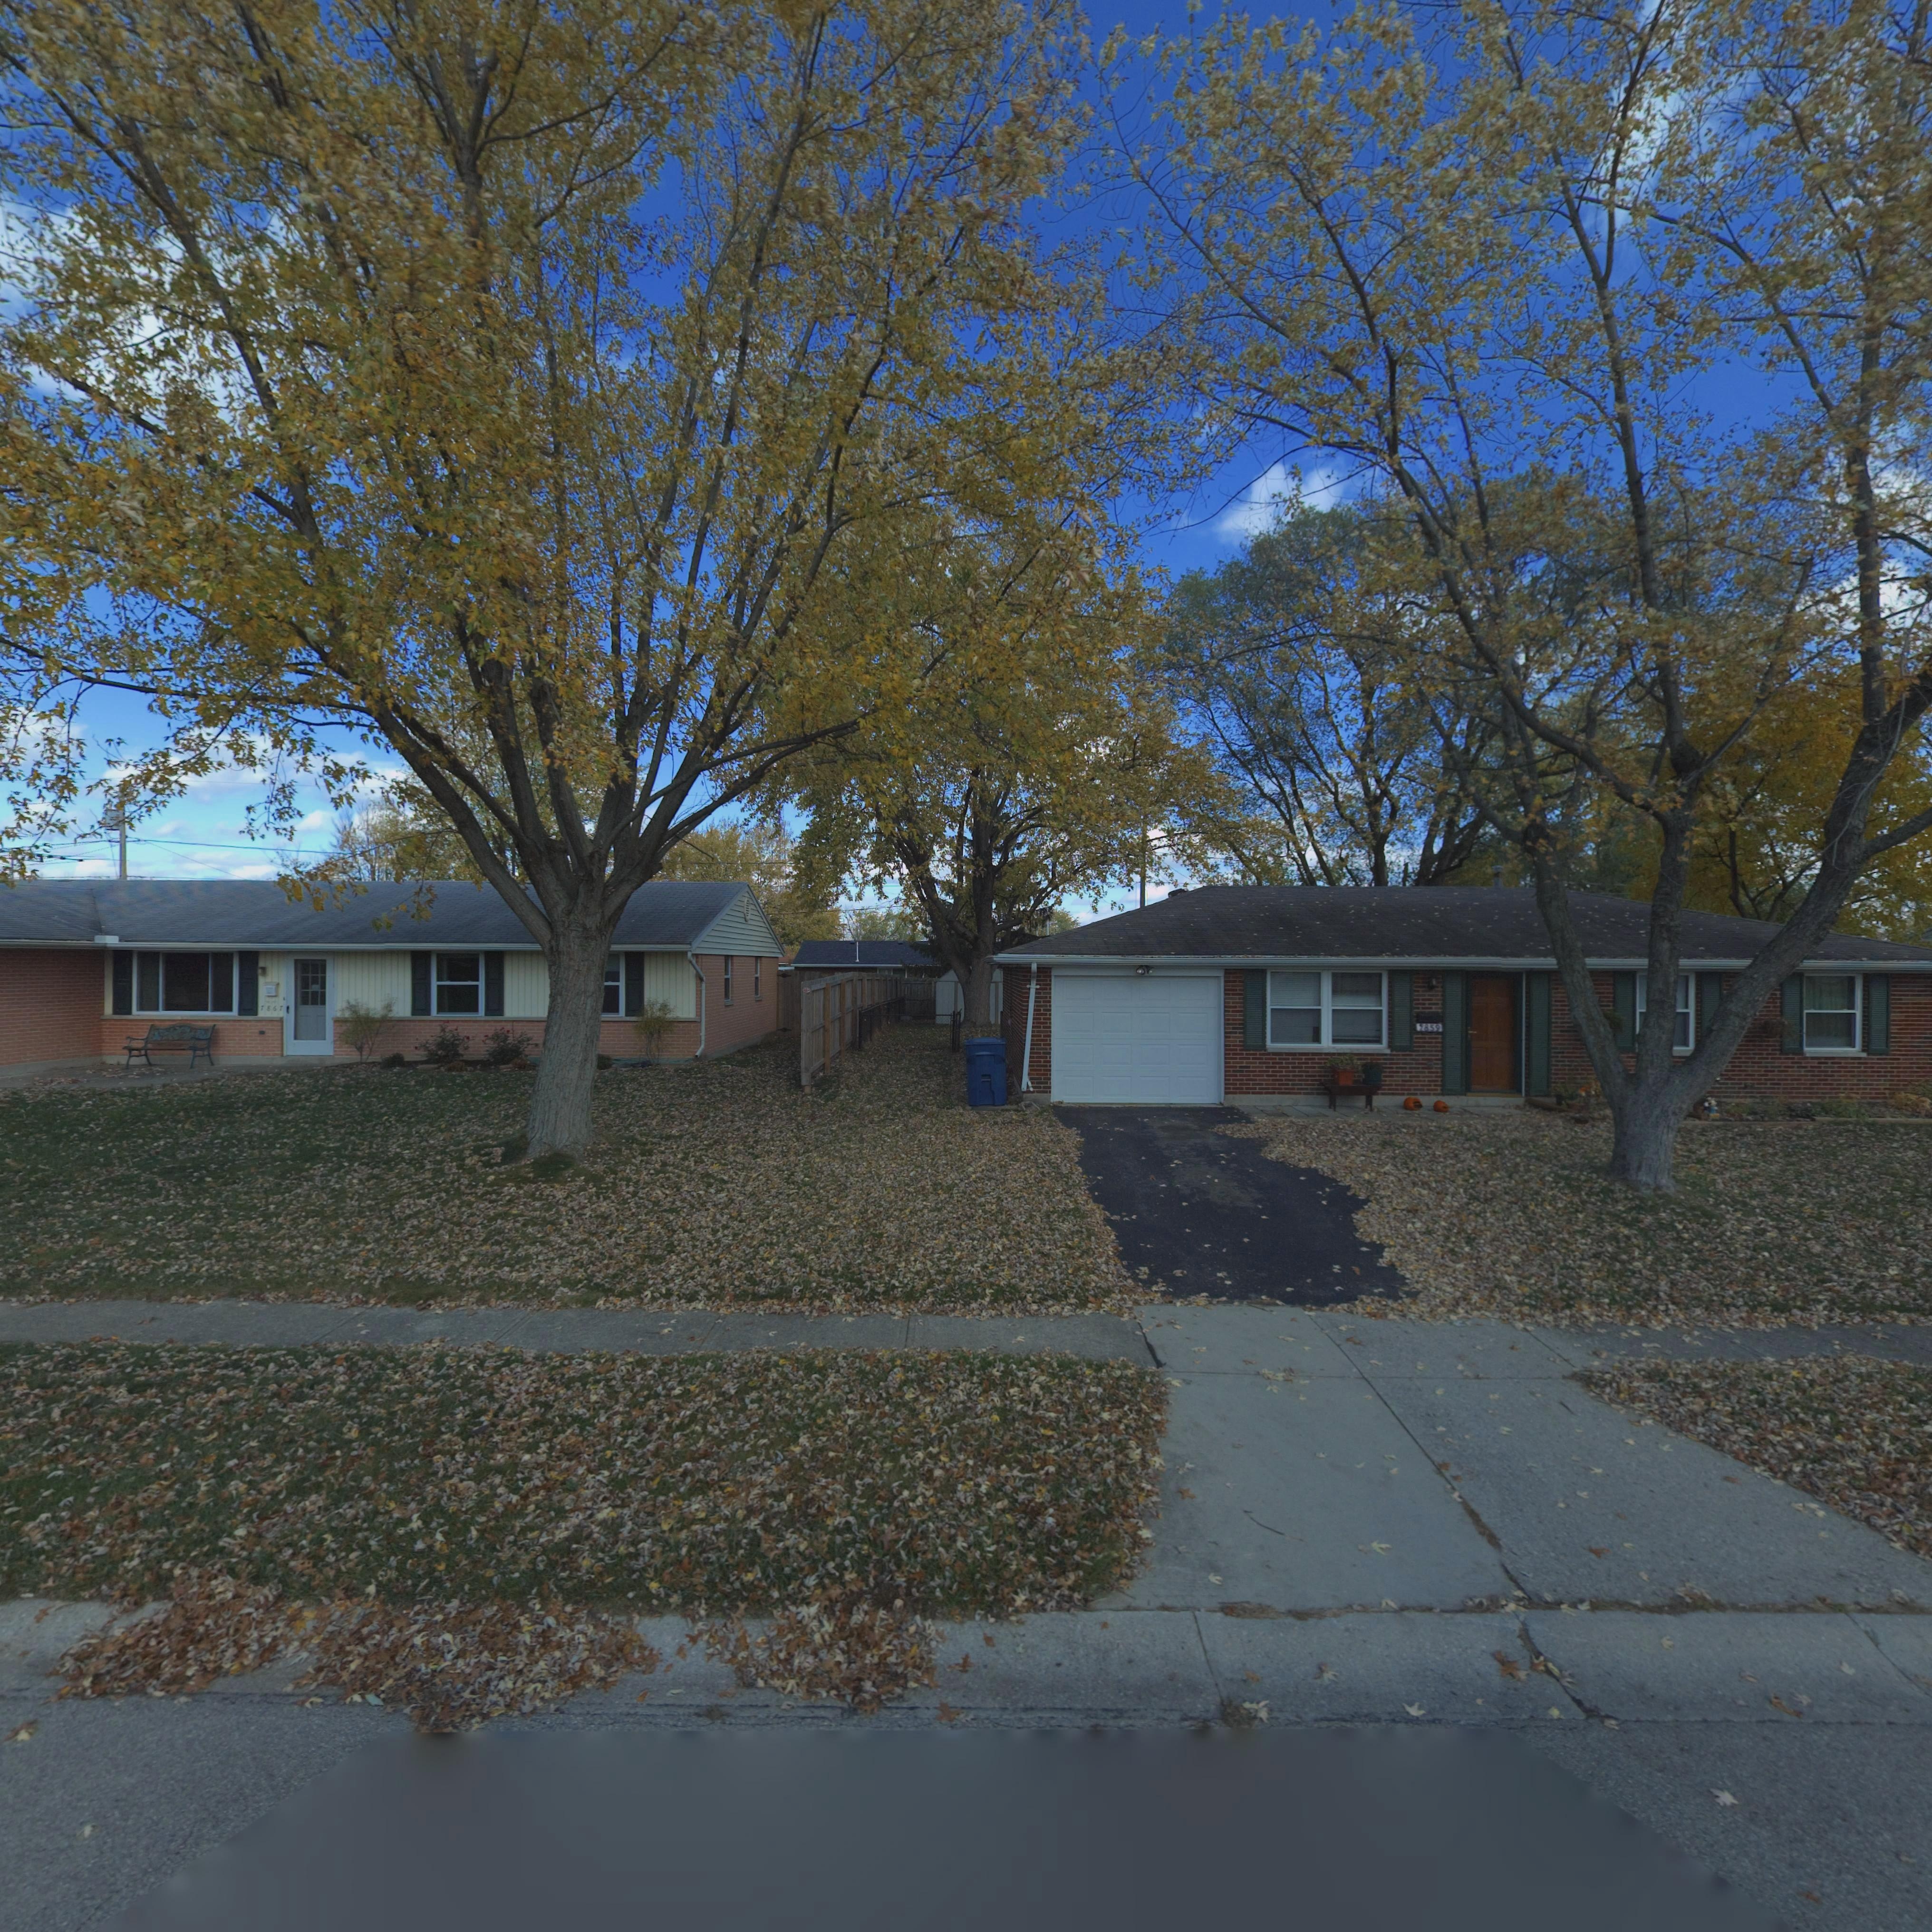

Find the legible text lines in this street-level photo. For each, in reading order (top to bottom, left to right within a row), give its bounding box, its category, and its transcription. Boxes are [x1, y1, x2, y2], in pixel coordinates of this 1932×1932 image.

[260, 1005, 284, 1012] StreetNumber: 7867
[1418, 1024, 1441, 1032] StreetNumber: 7859